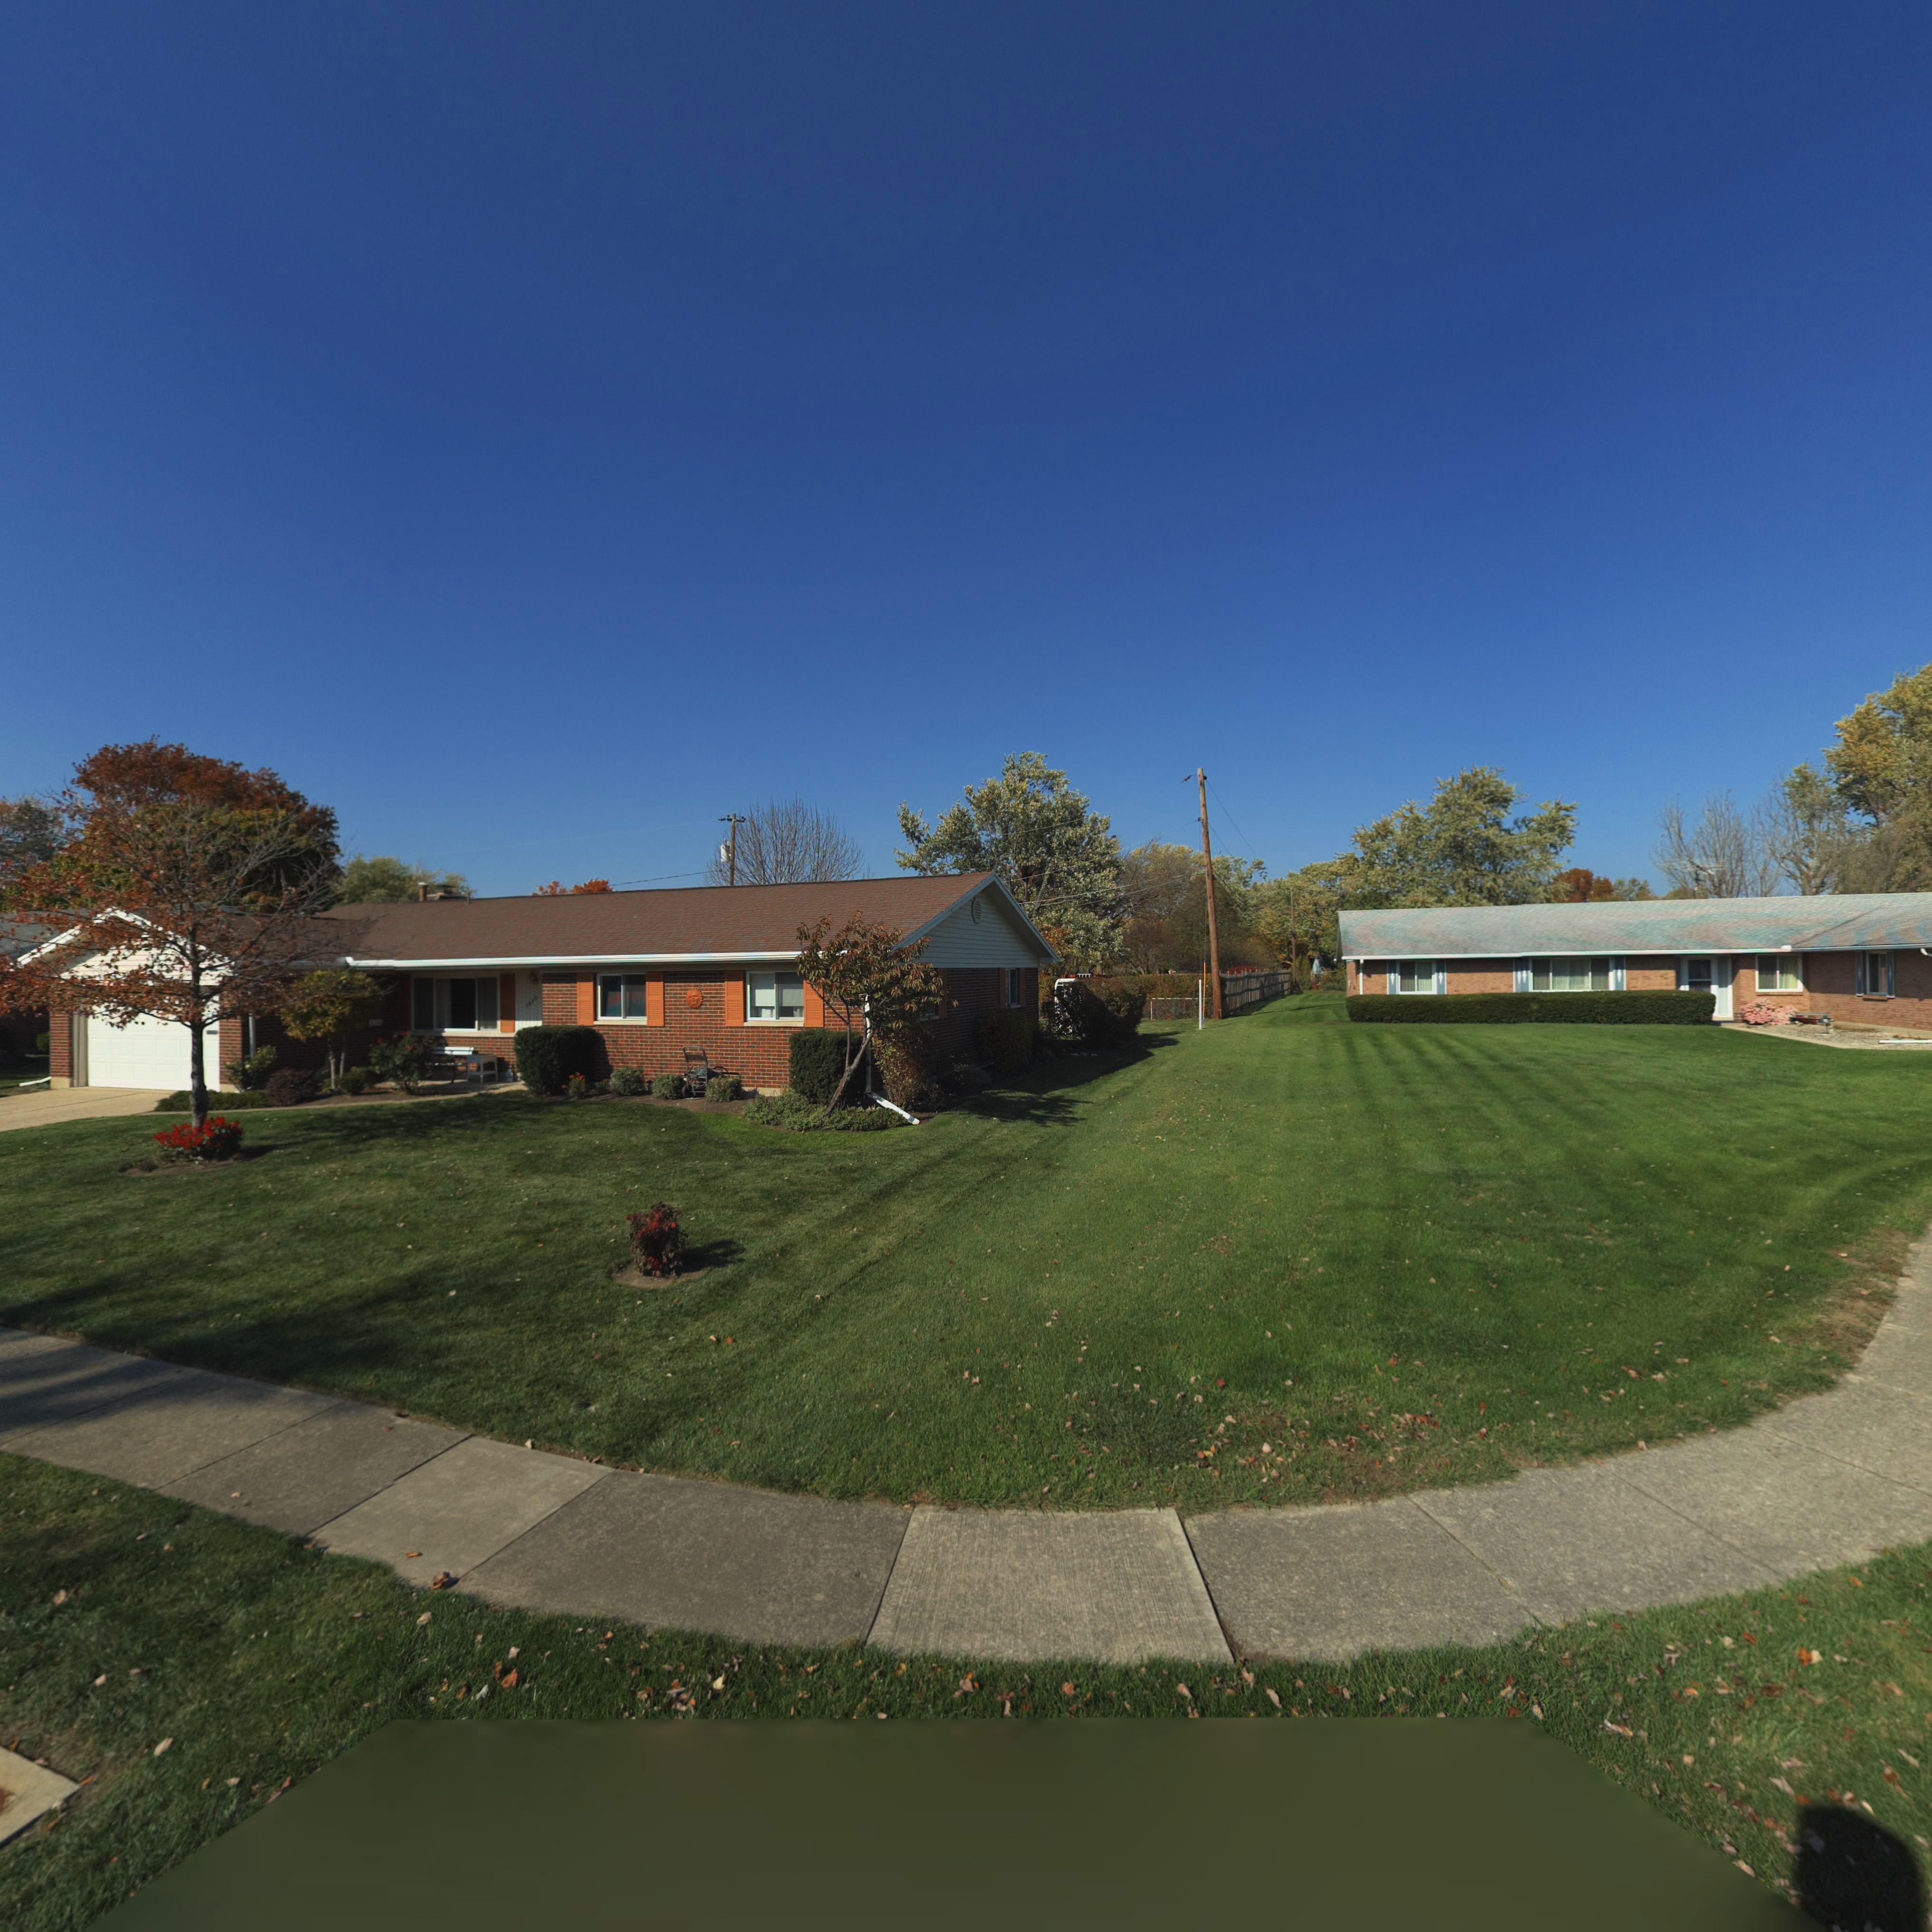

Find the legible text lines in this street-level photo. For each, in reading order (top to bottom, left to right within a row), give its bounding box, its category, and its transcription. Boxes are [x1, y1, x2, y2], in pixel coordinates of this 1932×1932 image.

[525, 995, 538, 1010] StreetNumber: 1019